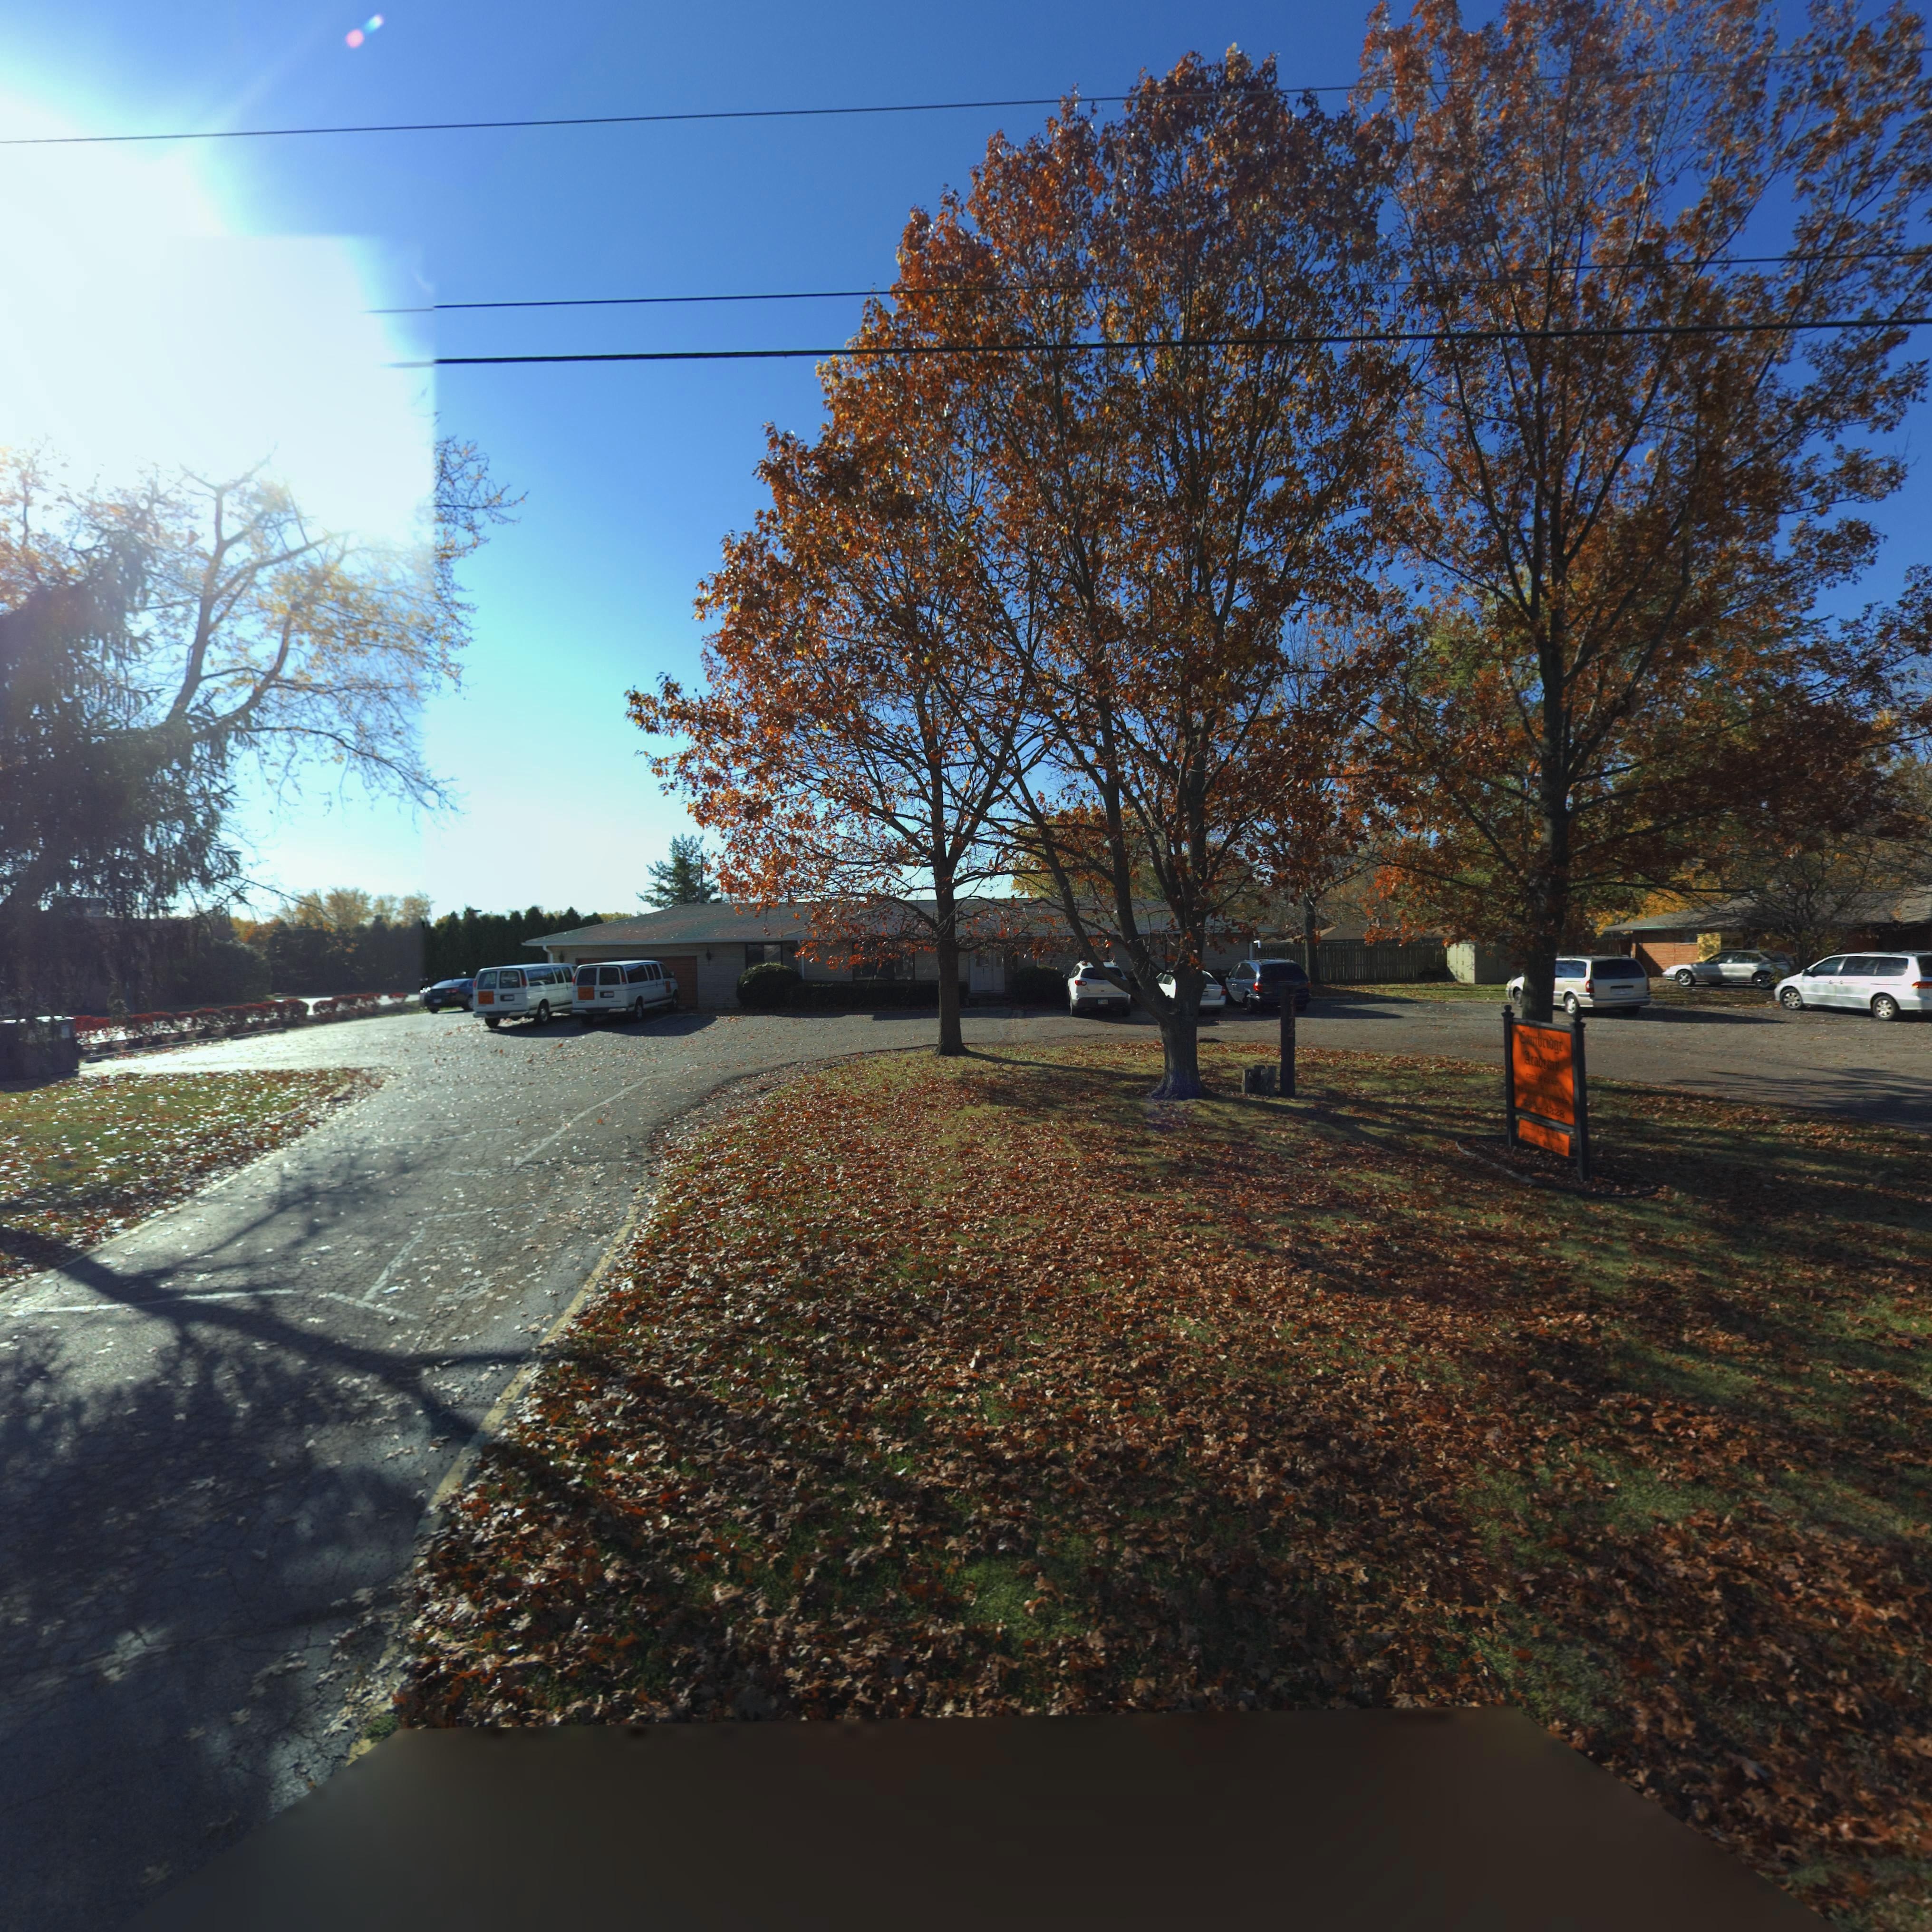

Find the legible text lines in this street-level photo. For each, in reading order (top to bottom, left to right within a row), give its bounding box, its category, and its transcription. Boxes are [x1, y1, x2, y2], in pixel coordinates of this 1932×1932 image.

[1286, 993, 1297, 1038] StreetNumber: 7172
[1517, 1029, 1564, 1055] BusinessName: Cambridge
[1523, 1050, 1561, 1074] BusinessName: Academy
[1525, 1072, 1559, 1087] BusinessName: CHILD CARE